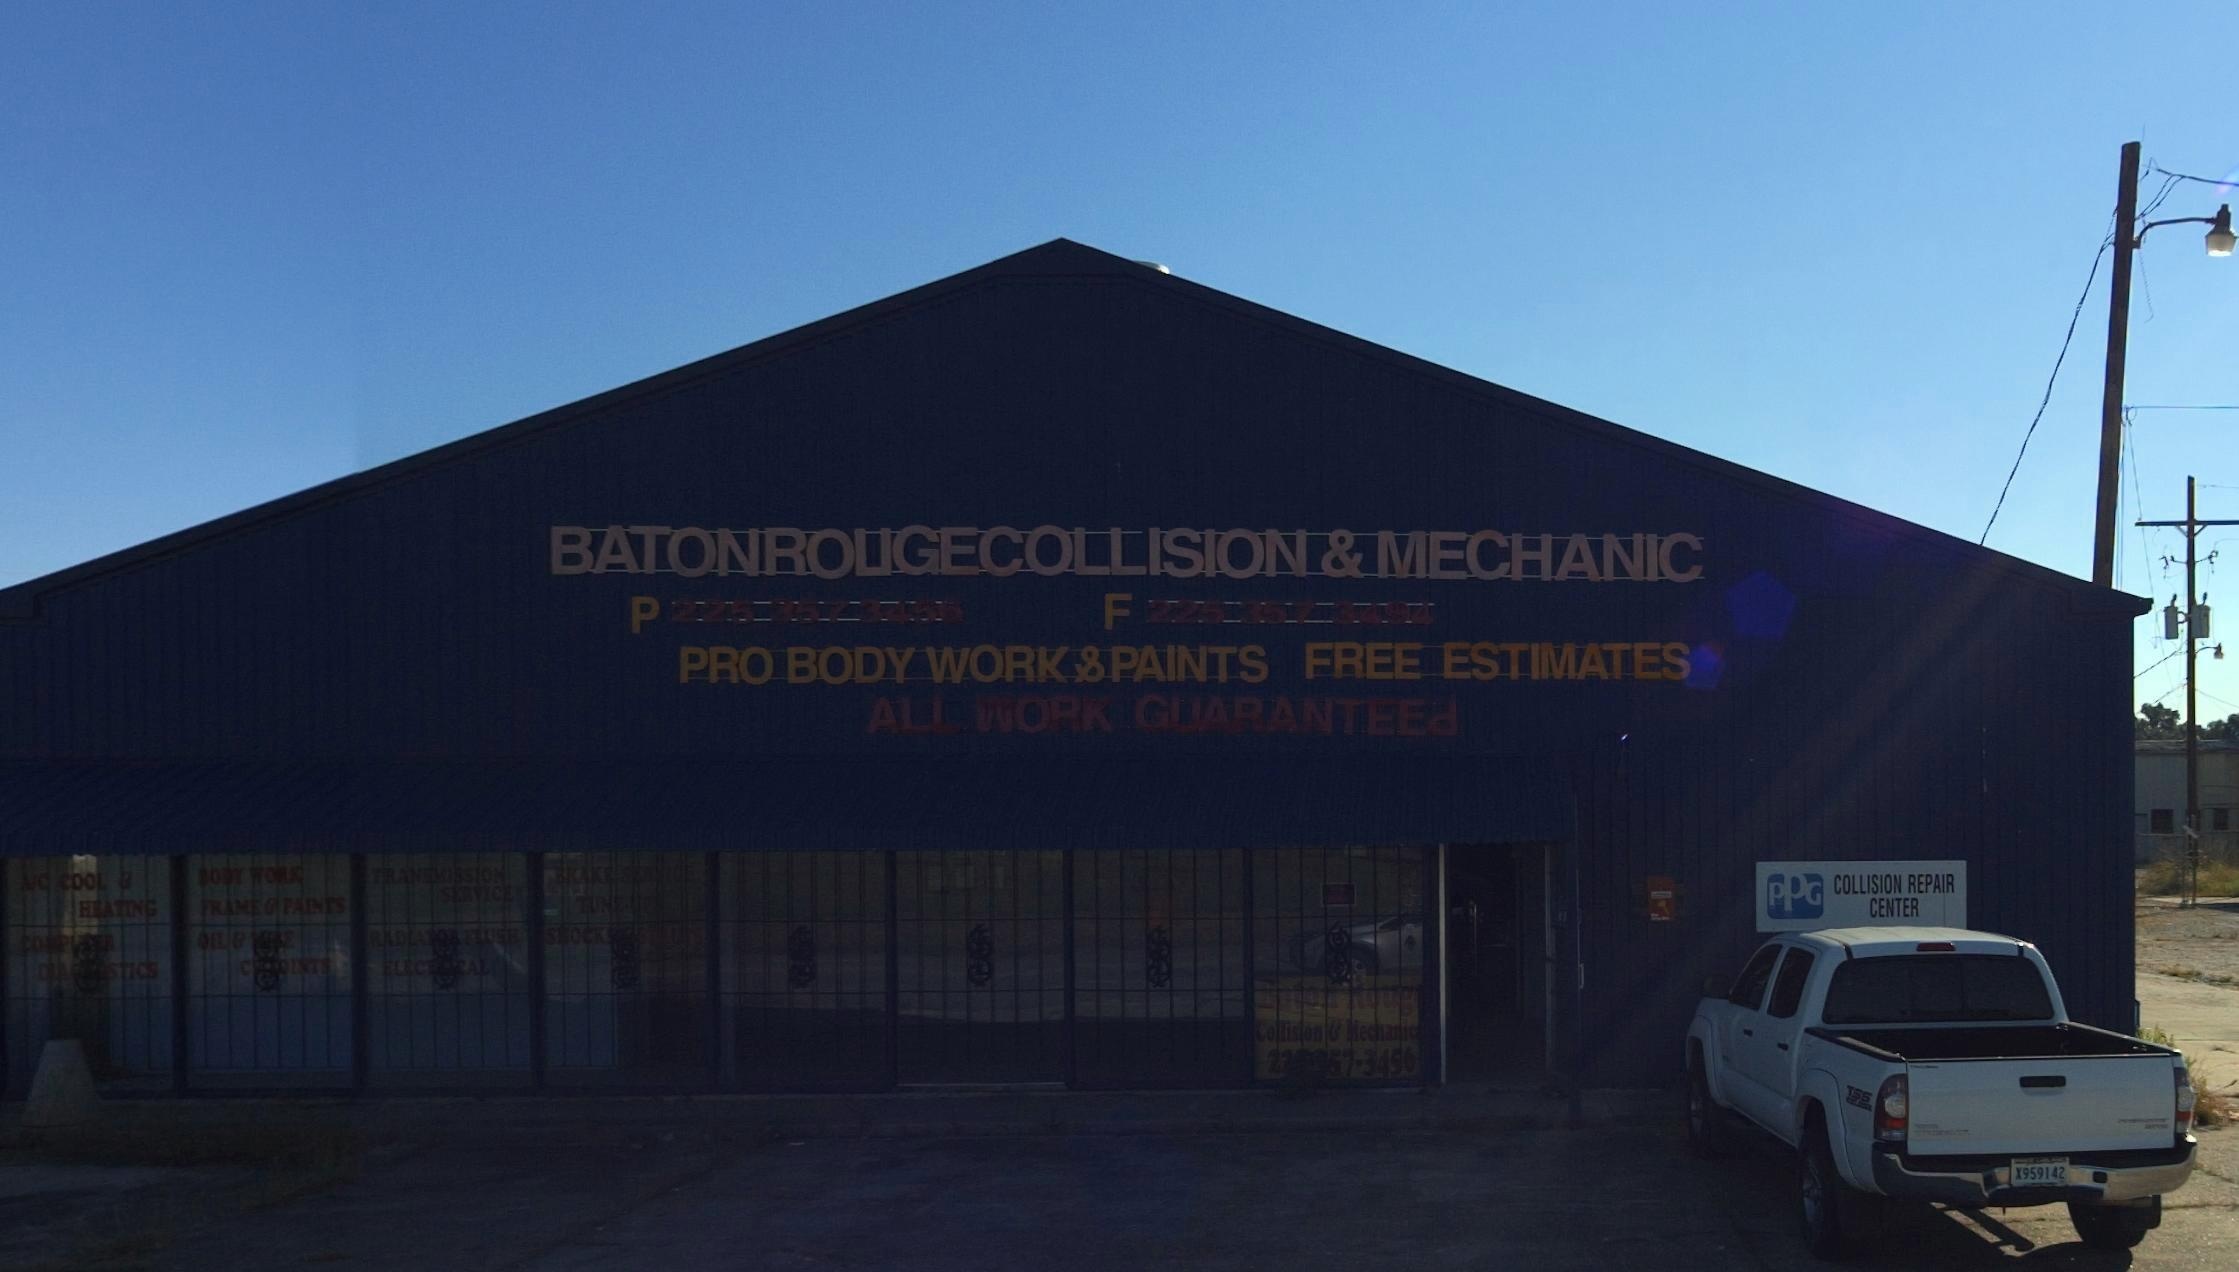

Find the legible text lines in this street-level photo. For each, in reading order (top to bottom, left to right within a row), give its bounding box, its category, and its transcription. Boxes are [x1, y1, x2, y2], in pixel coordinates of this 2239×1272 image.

[544, 520, 1709, 589] BusinessName: BATONROUGECOLLISION & MECHANIC
[626, 590, 664, 639] None: P
[667, 593, 969, 629] None: 225 357 3456
[1099, 586, 1138, 635] None: F
[1143, 593, 1439, 629] None: 225 357 3494
[672, 636, 1696, 690] None: PRO BODY WORK & PAINTS FREE ESTIMATES
[857, 690, 1465, 740] None: ALL WORK GUARANTEEd
[16, 869, 110, 894] None: A/C COOL
[76, 896, 161, 921] None: H*A*ING
[195, 863, 307, 887] None: *O*Y WORK
[198, 894, 348, 918] None: *R*M* & PAIN*S
[1767, 870, 1826, 915] None: PPG
[1832, 872, 1957, 897] None: COLLISION REPAIR
[1868, 894, 1922, 921] None: CENTER
[196, 929, 230, 954] None: *IL
[1253, 1015, 1424, 1045] None: Co*lis*on & *ec*a*ic
[1265, 1046, 1282, 1078] None: 2
[1326, 1044, 1421, 1082] None: 57-3456
[1845, 1081, 1874, 1107] None: TSS
[2013, 1164, 2067, 1182] None: X959142